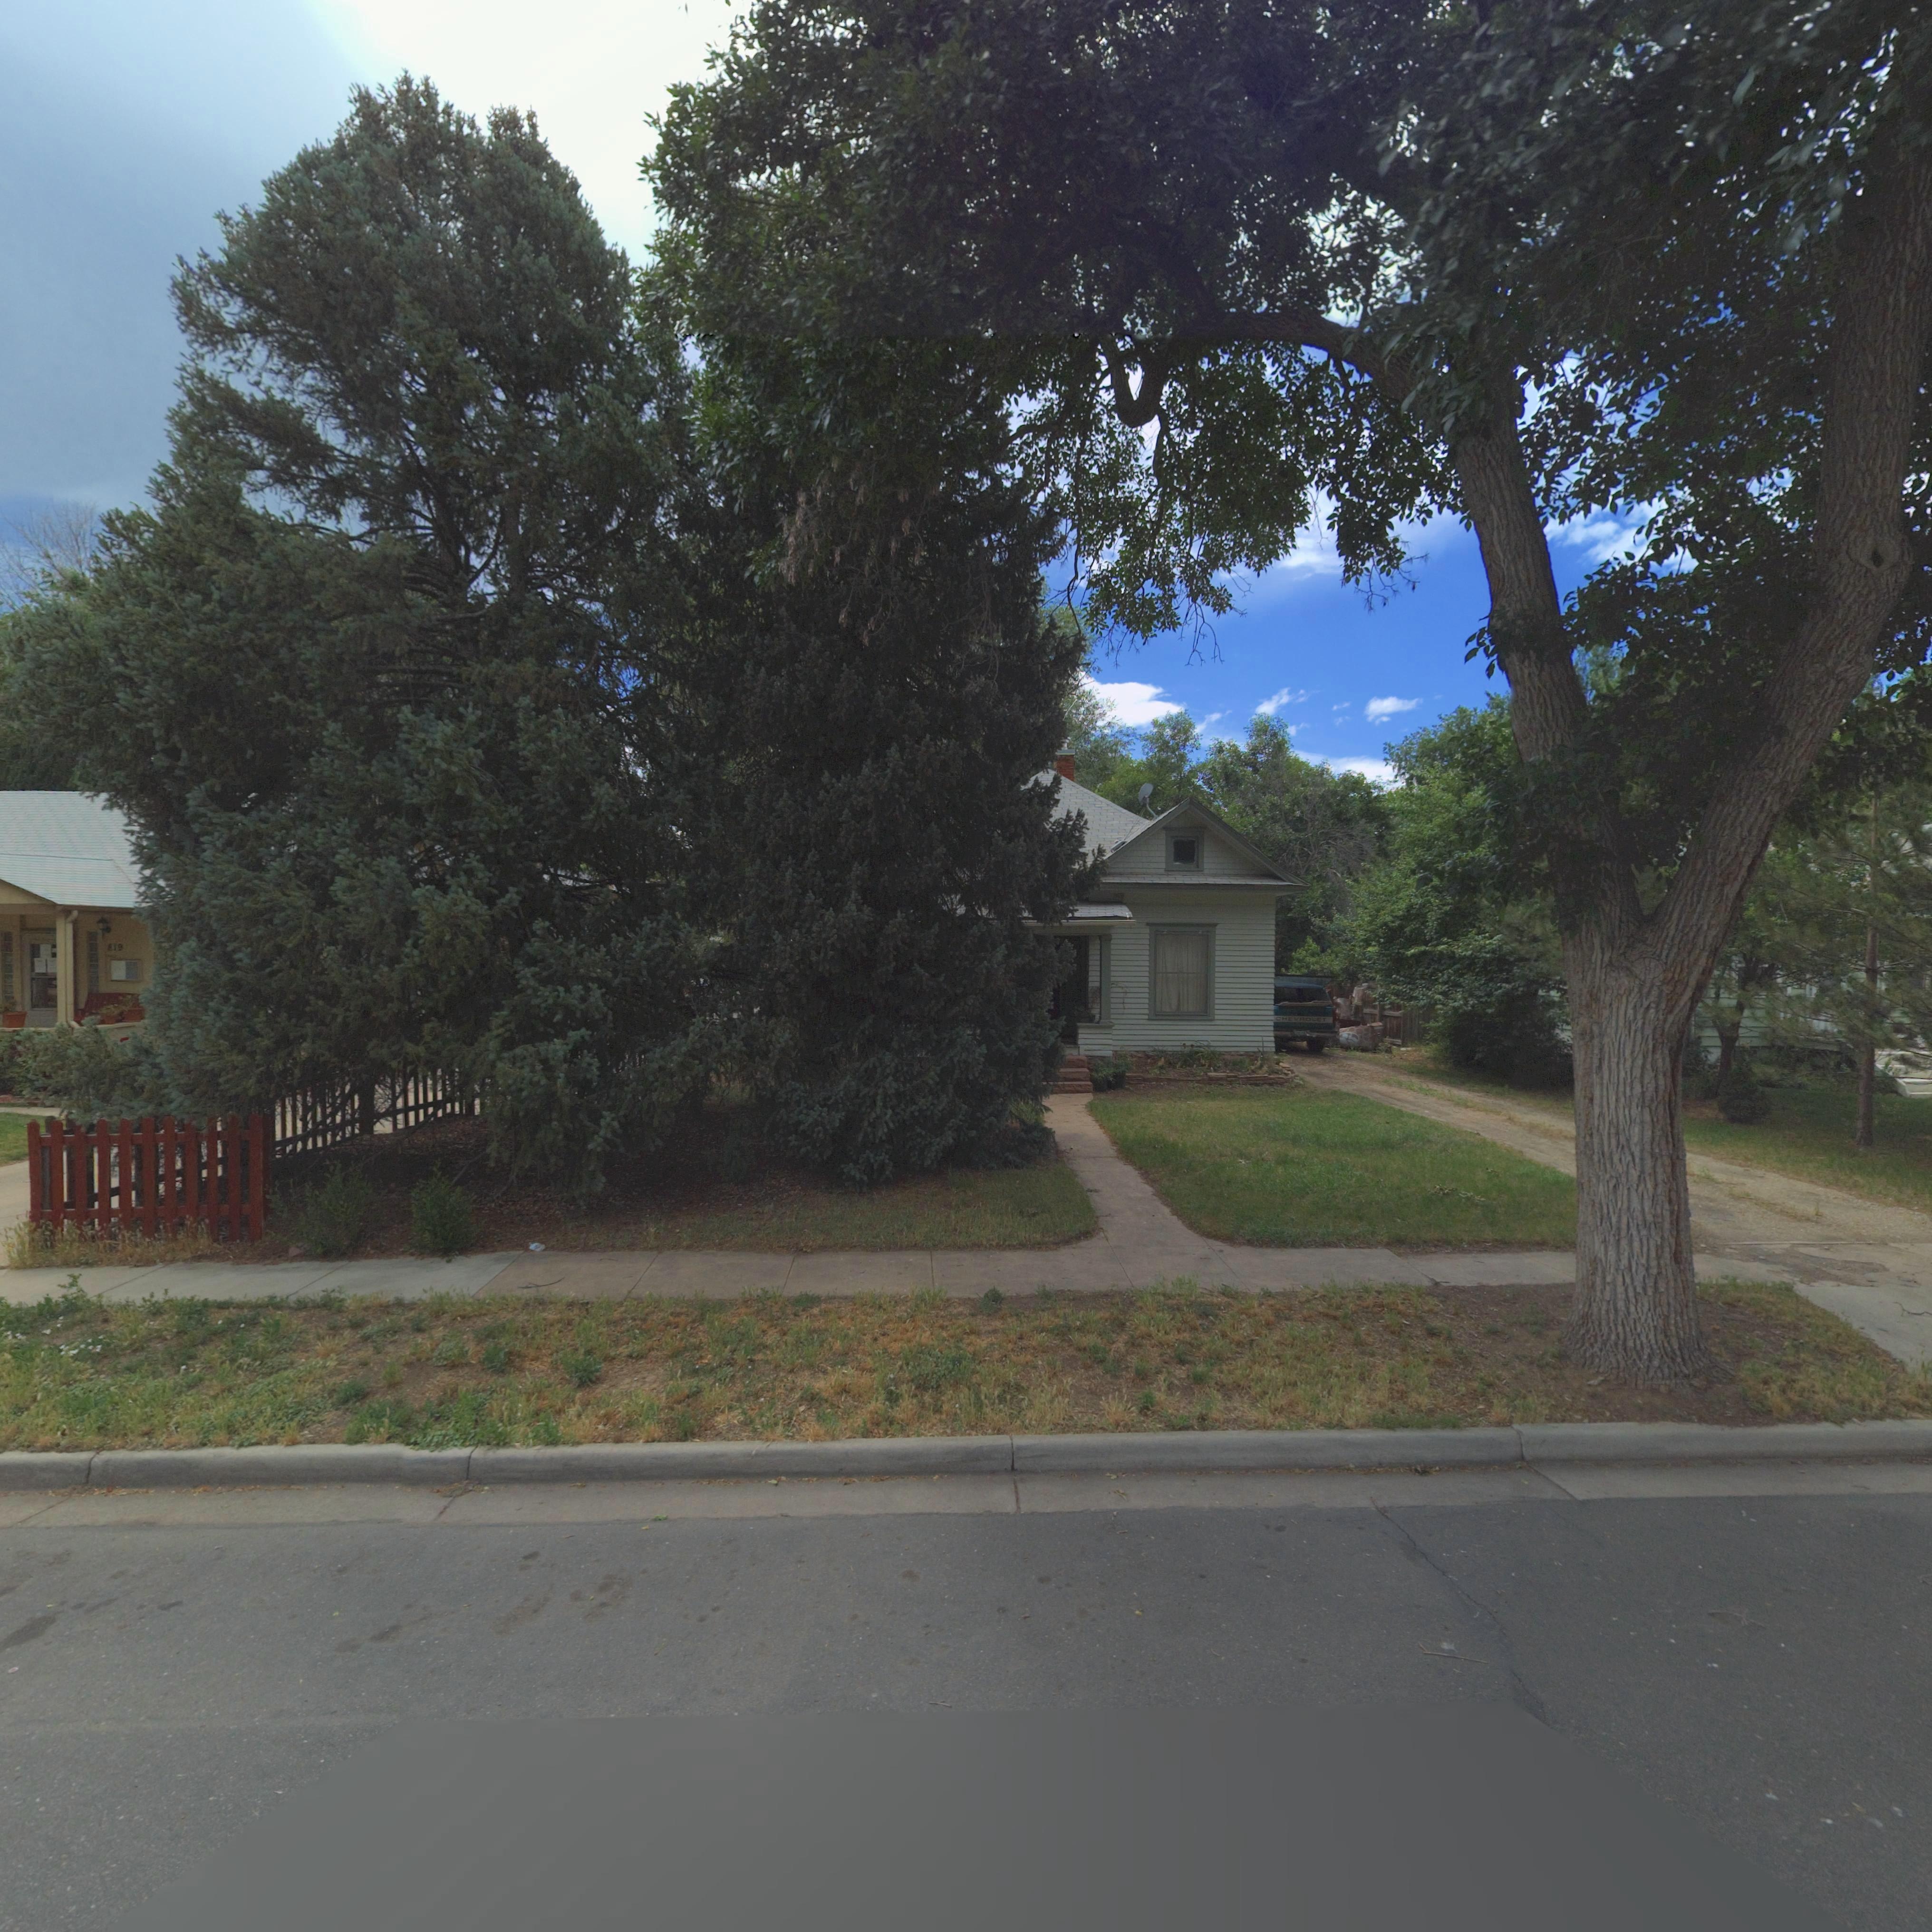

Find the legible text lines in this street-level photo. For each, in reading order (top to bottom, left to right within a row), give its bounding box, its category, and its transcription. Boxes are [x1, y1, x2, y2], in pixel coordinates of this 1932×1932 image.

[106, 941, 124, 952] StreetNumber: 619